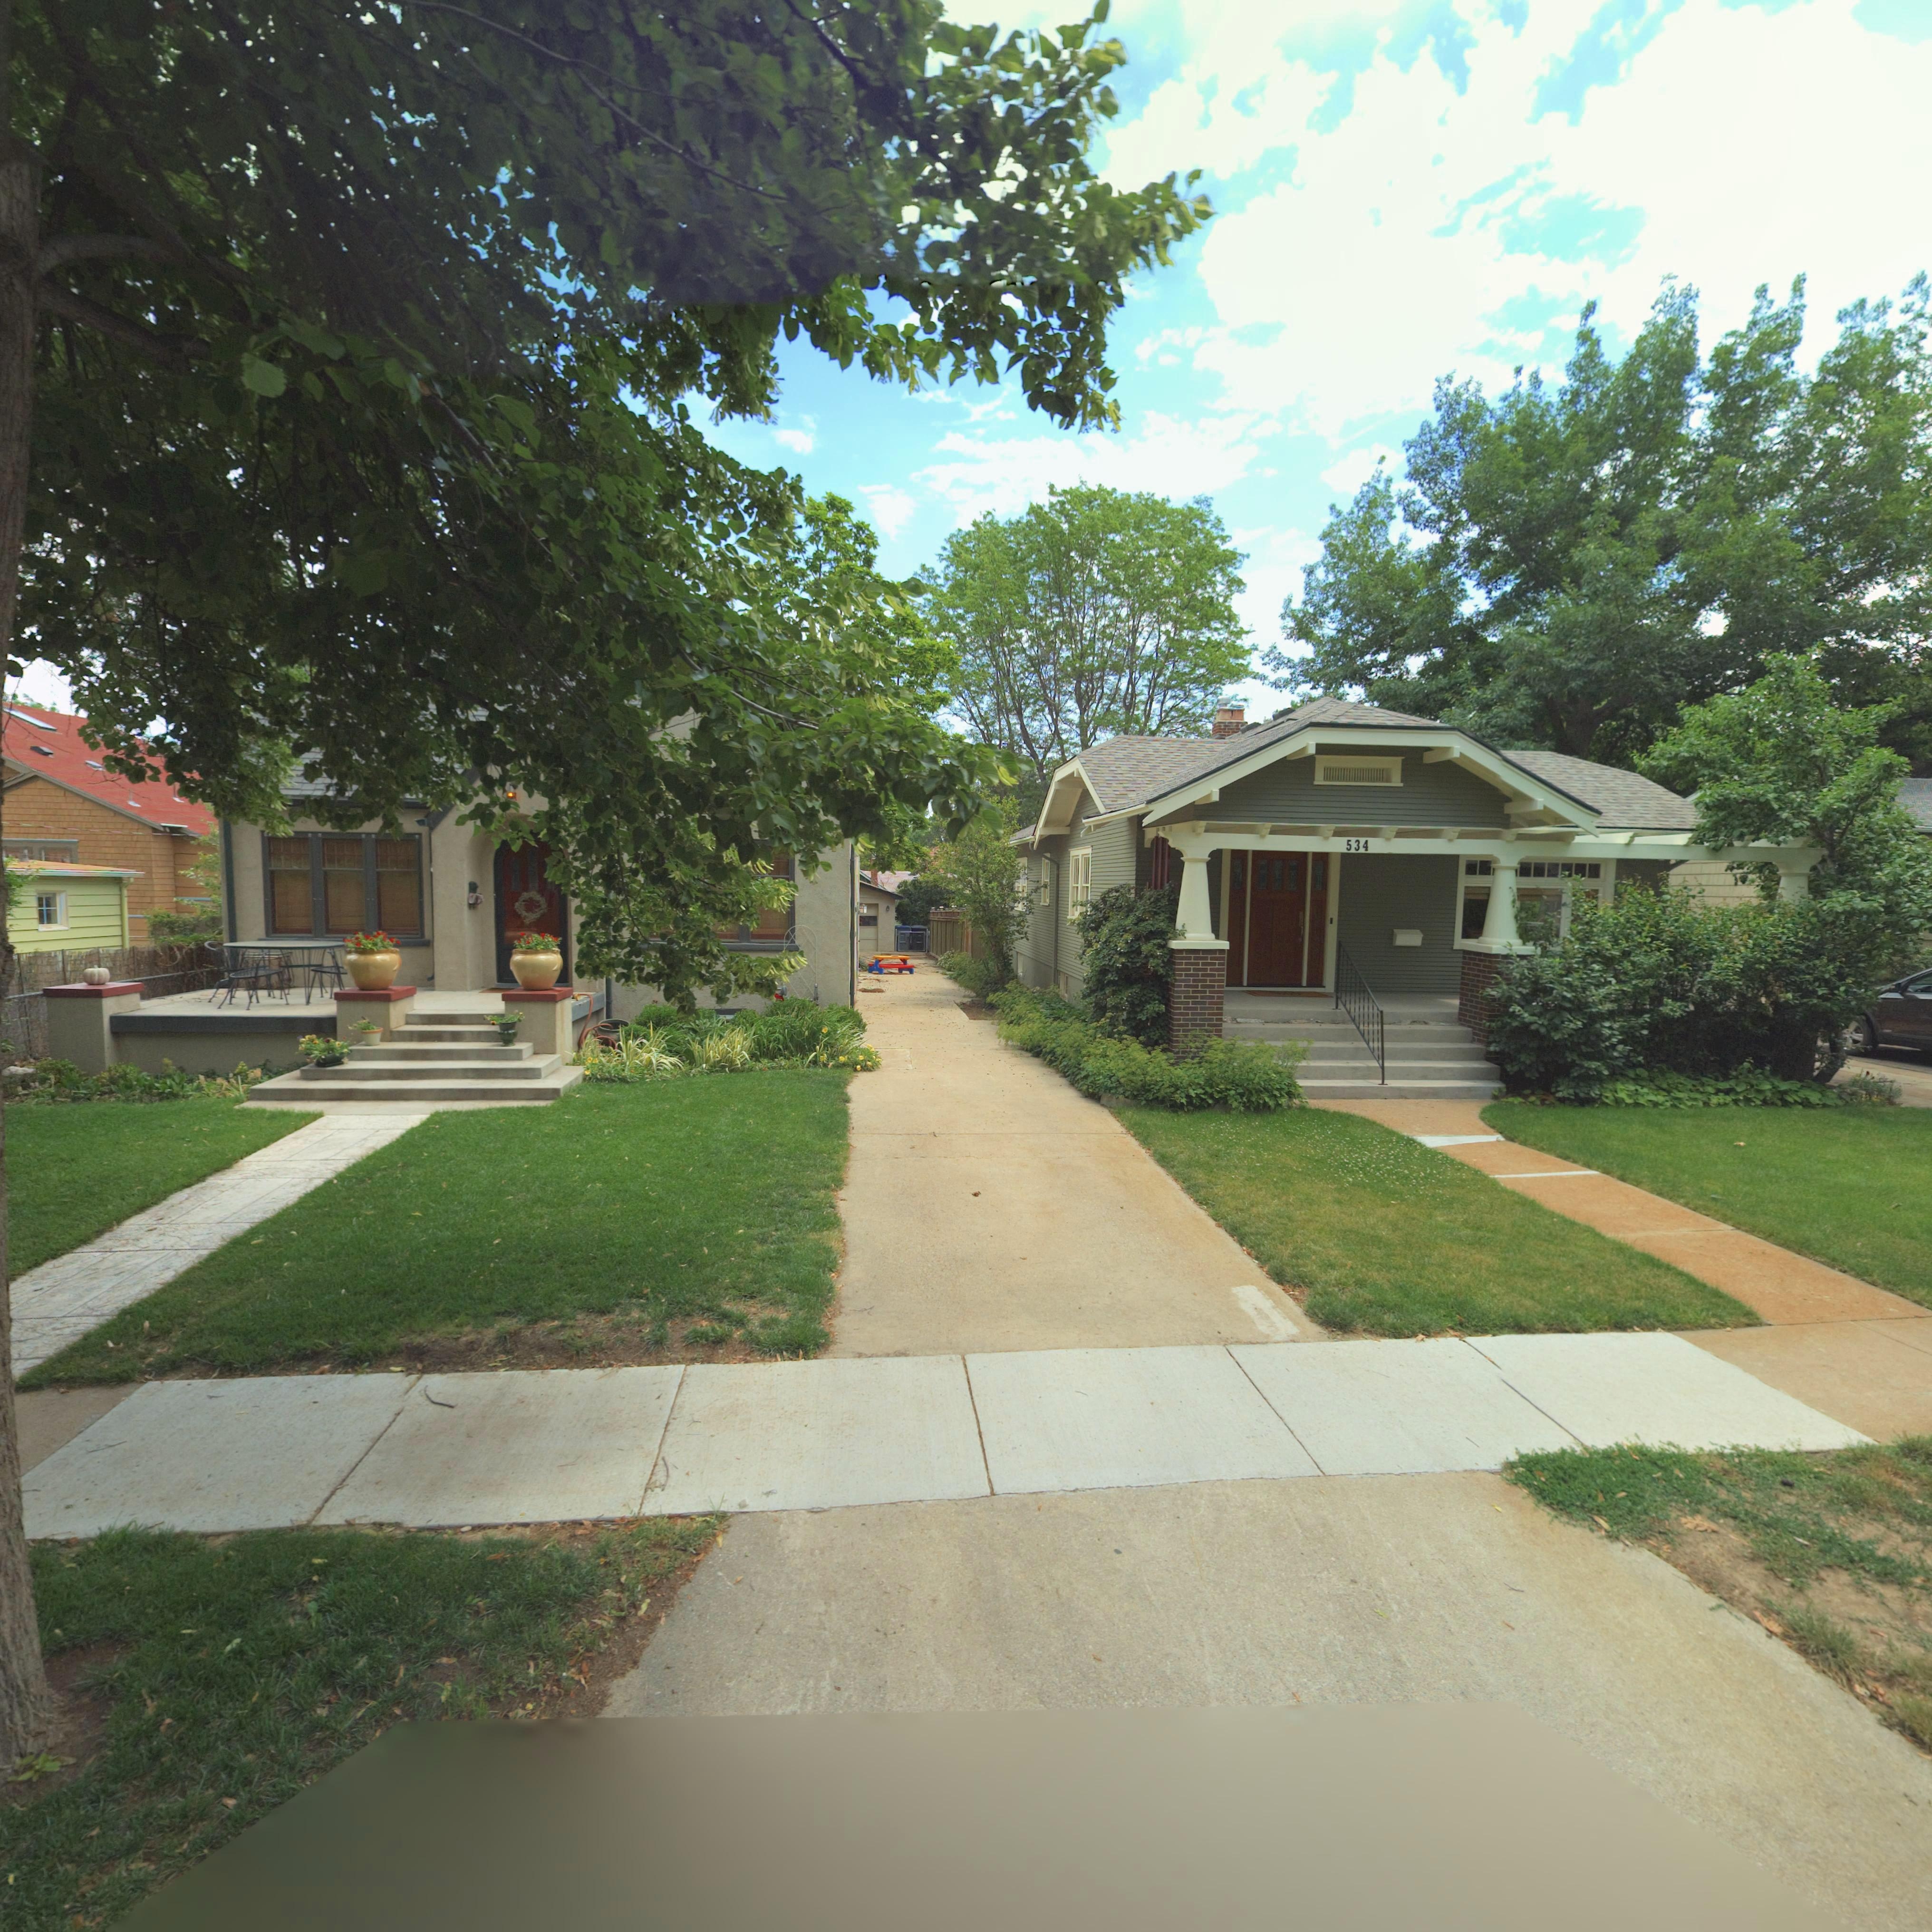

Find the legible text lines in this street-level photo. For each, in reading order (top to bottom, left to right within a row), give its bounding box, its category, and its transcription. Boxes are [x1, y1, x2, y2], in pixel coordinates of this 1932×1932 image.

[1345, 839, 1369, 851] StreetNumber: 534